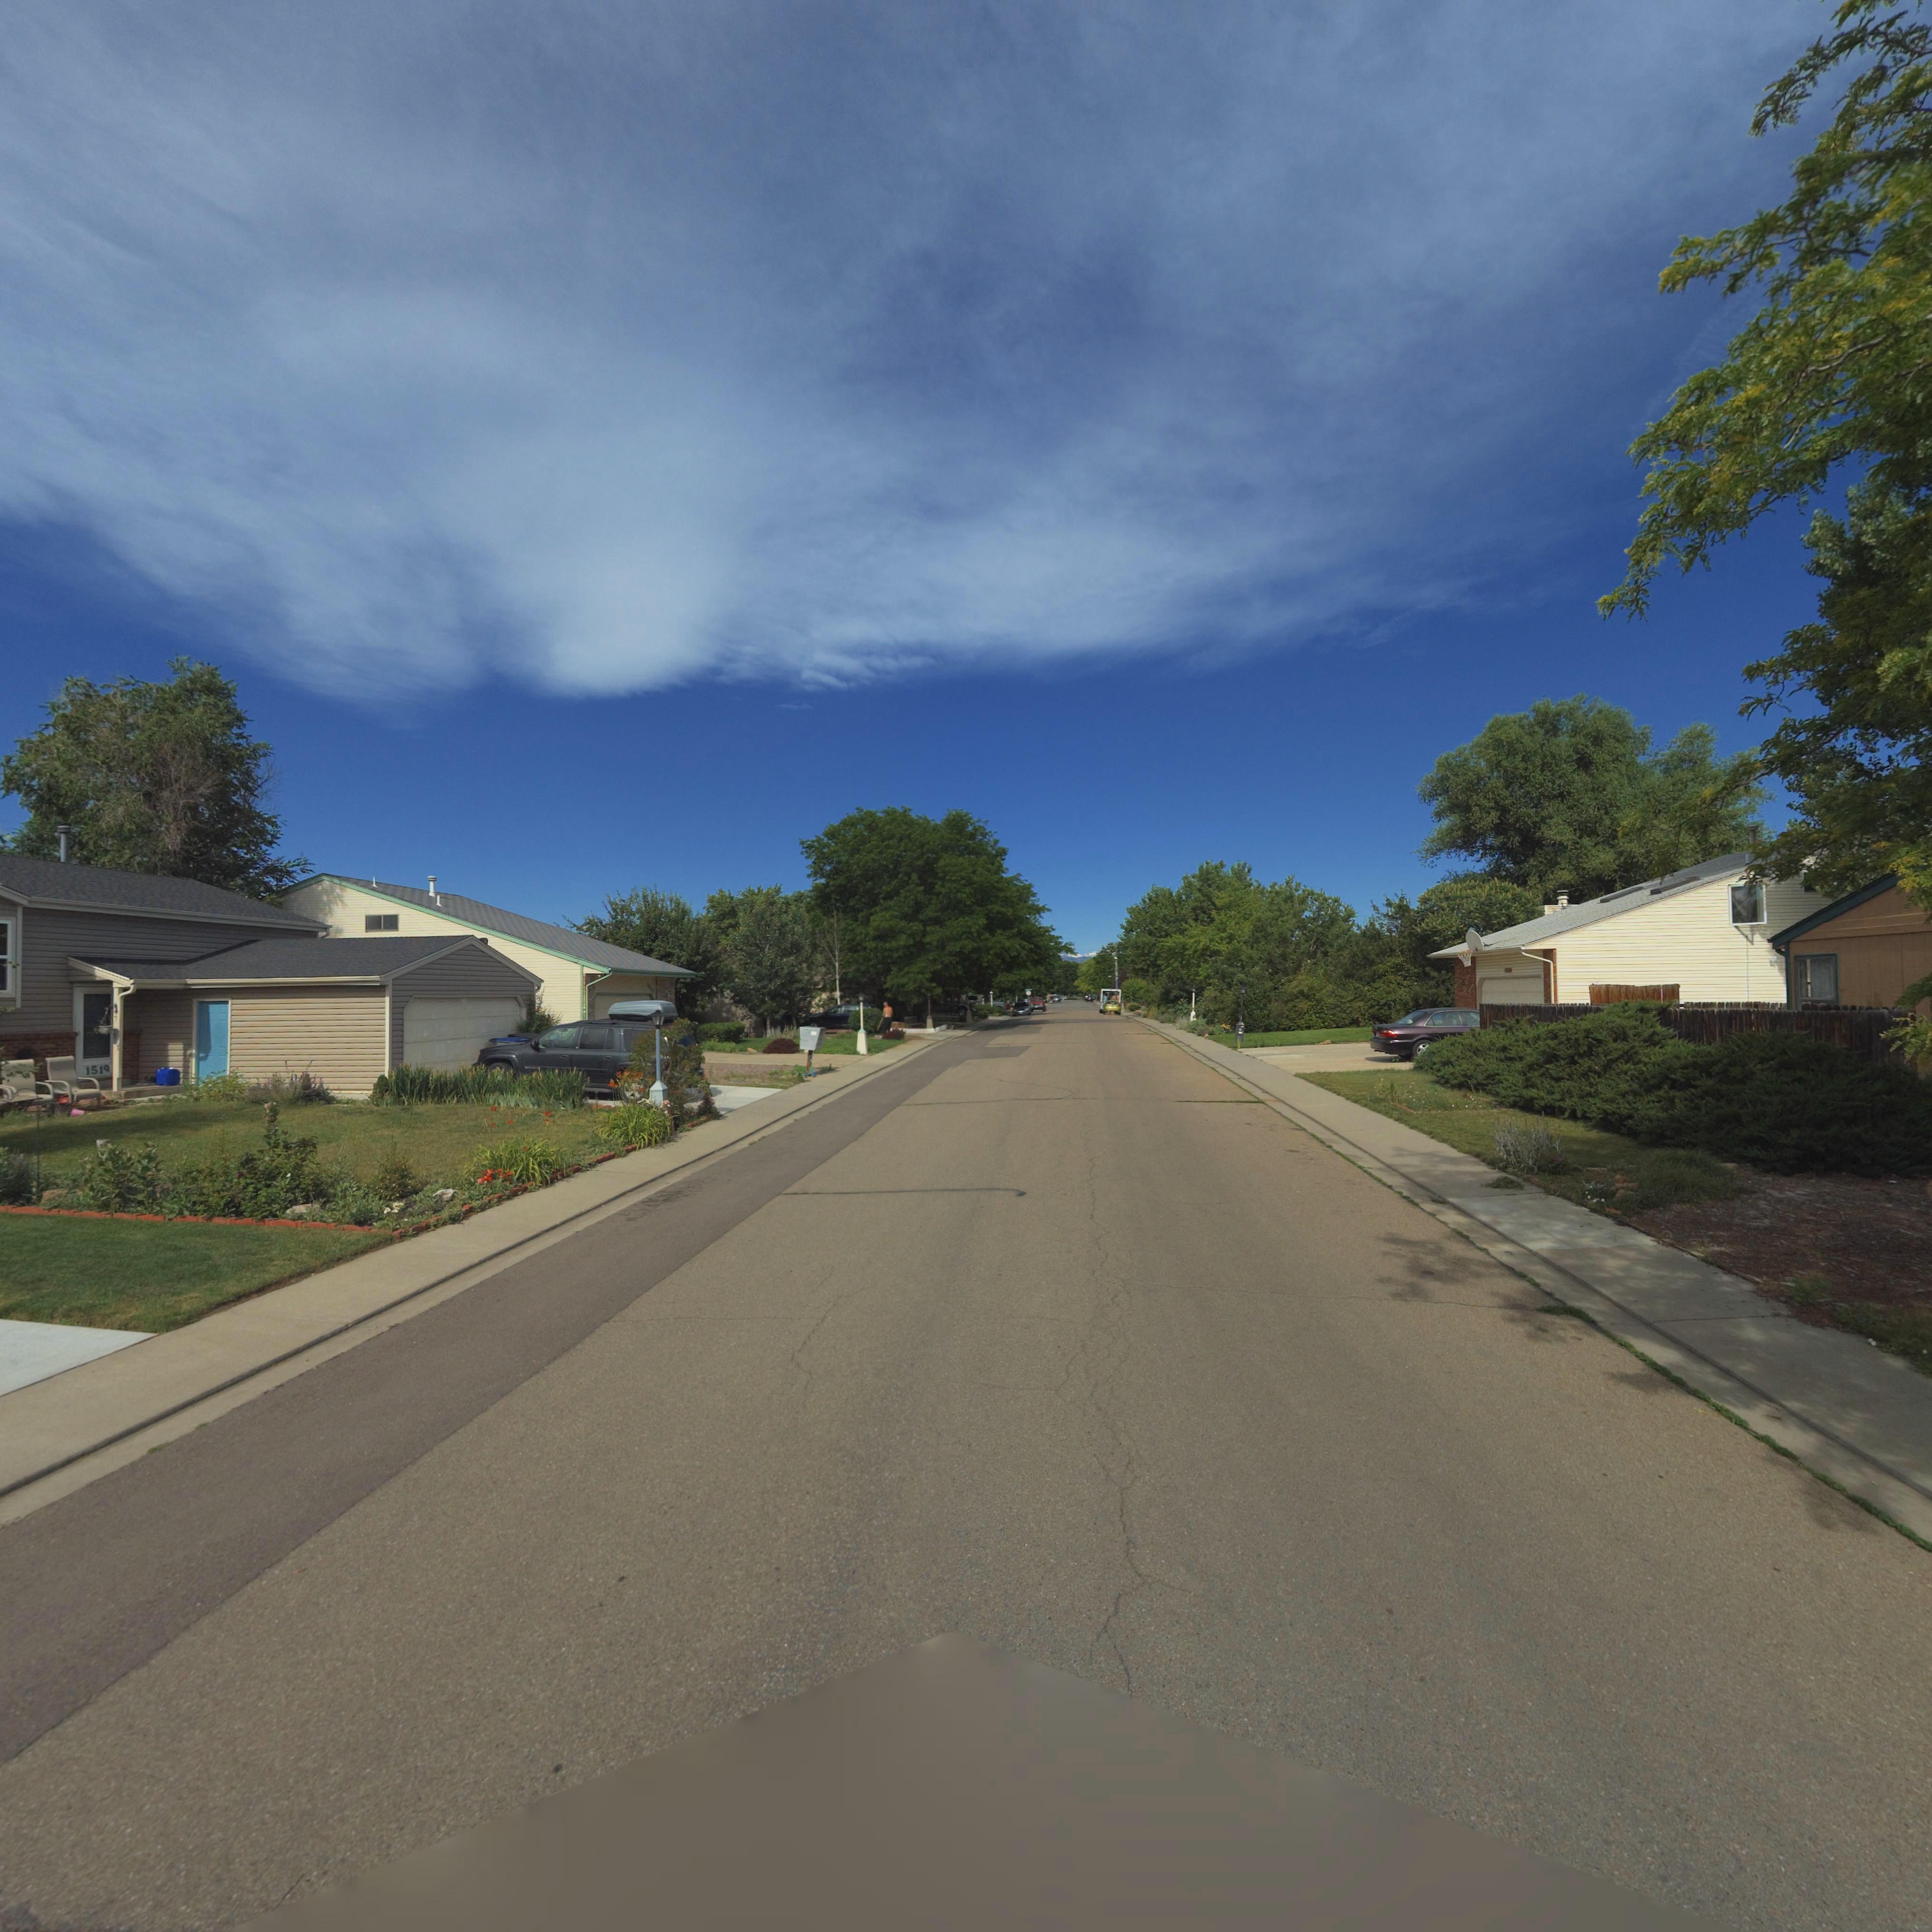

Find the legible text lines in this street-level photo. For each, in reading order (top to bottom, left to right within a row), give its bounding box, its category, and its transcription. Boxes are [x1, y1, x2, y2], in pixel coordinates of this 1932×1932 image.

[86, 1064, 110, 1075] StreetNumber: 1519